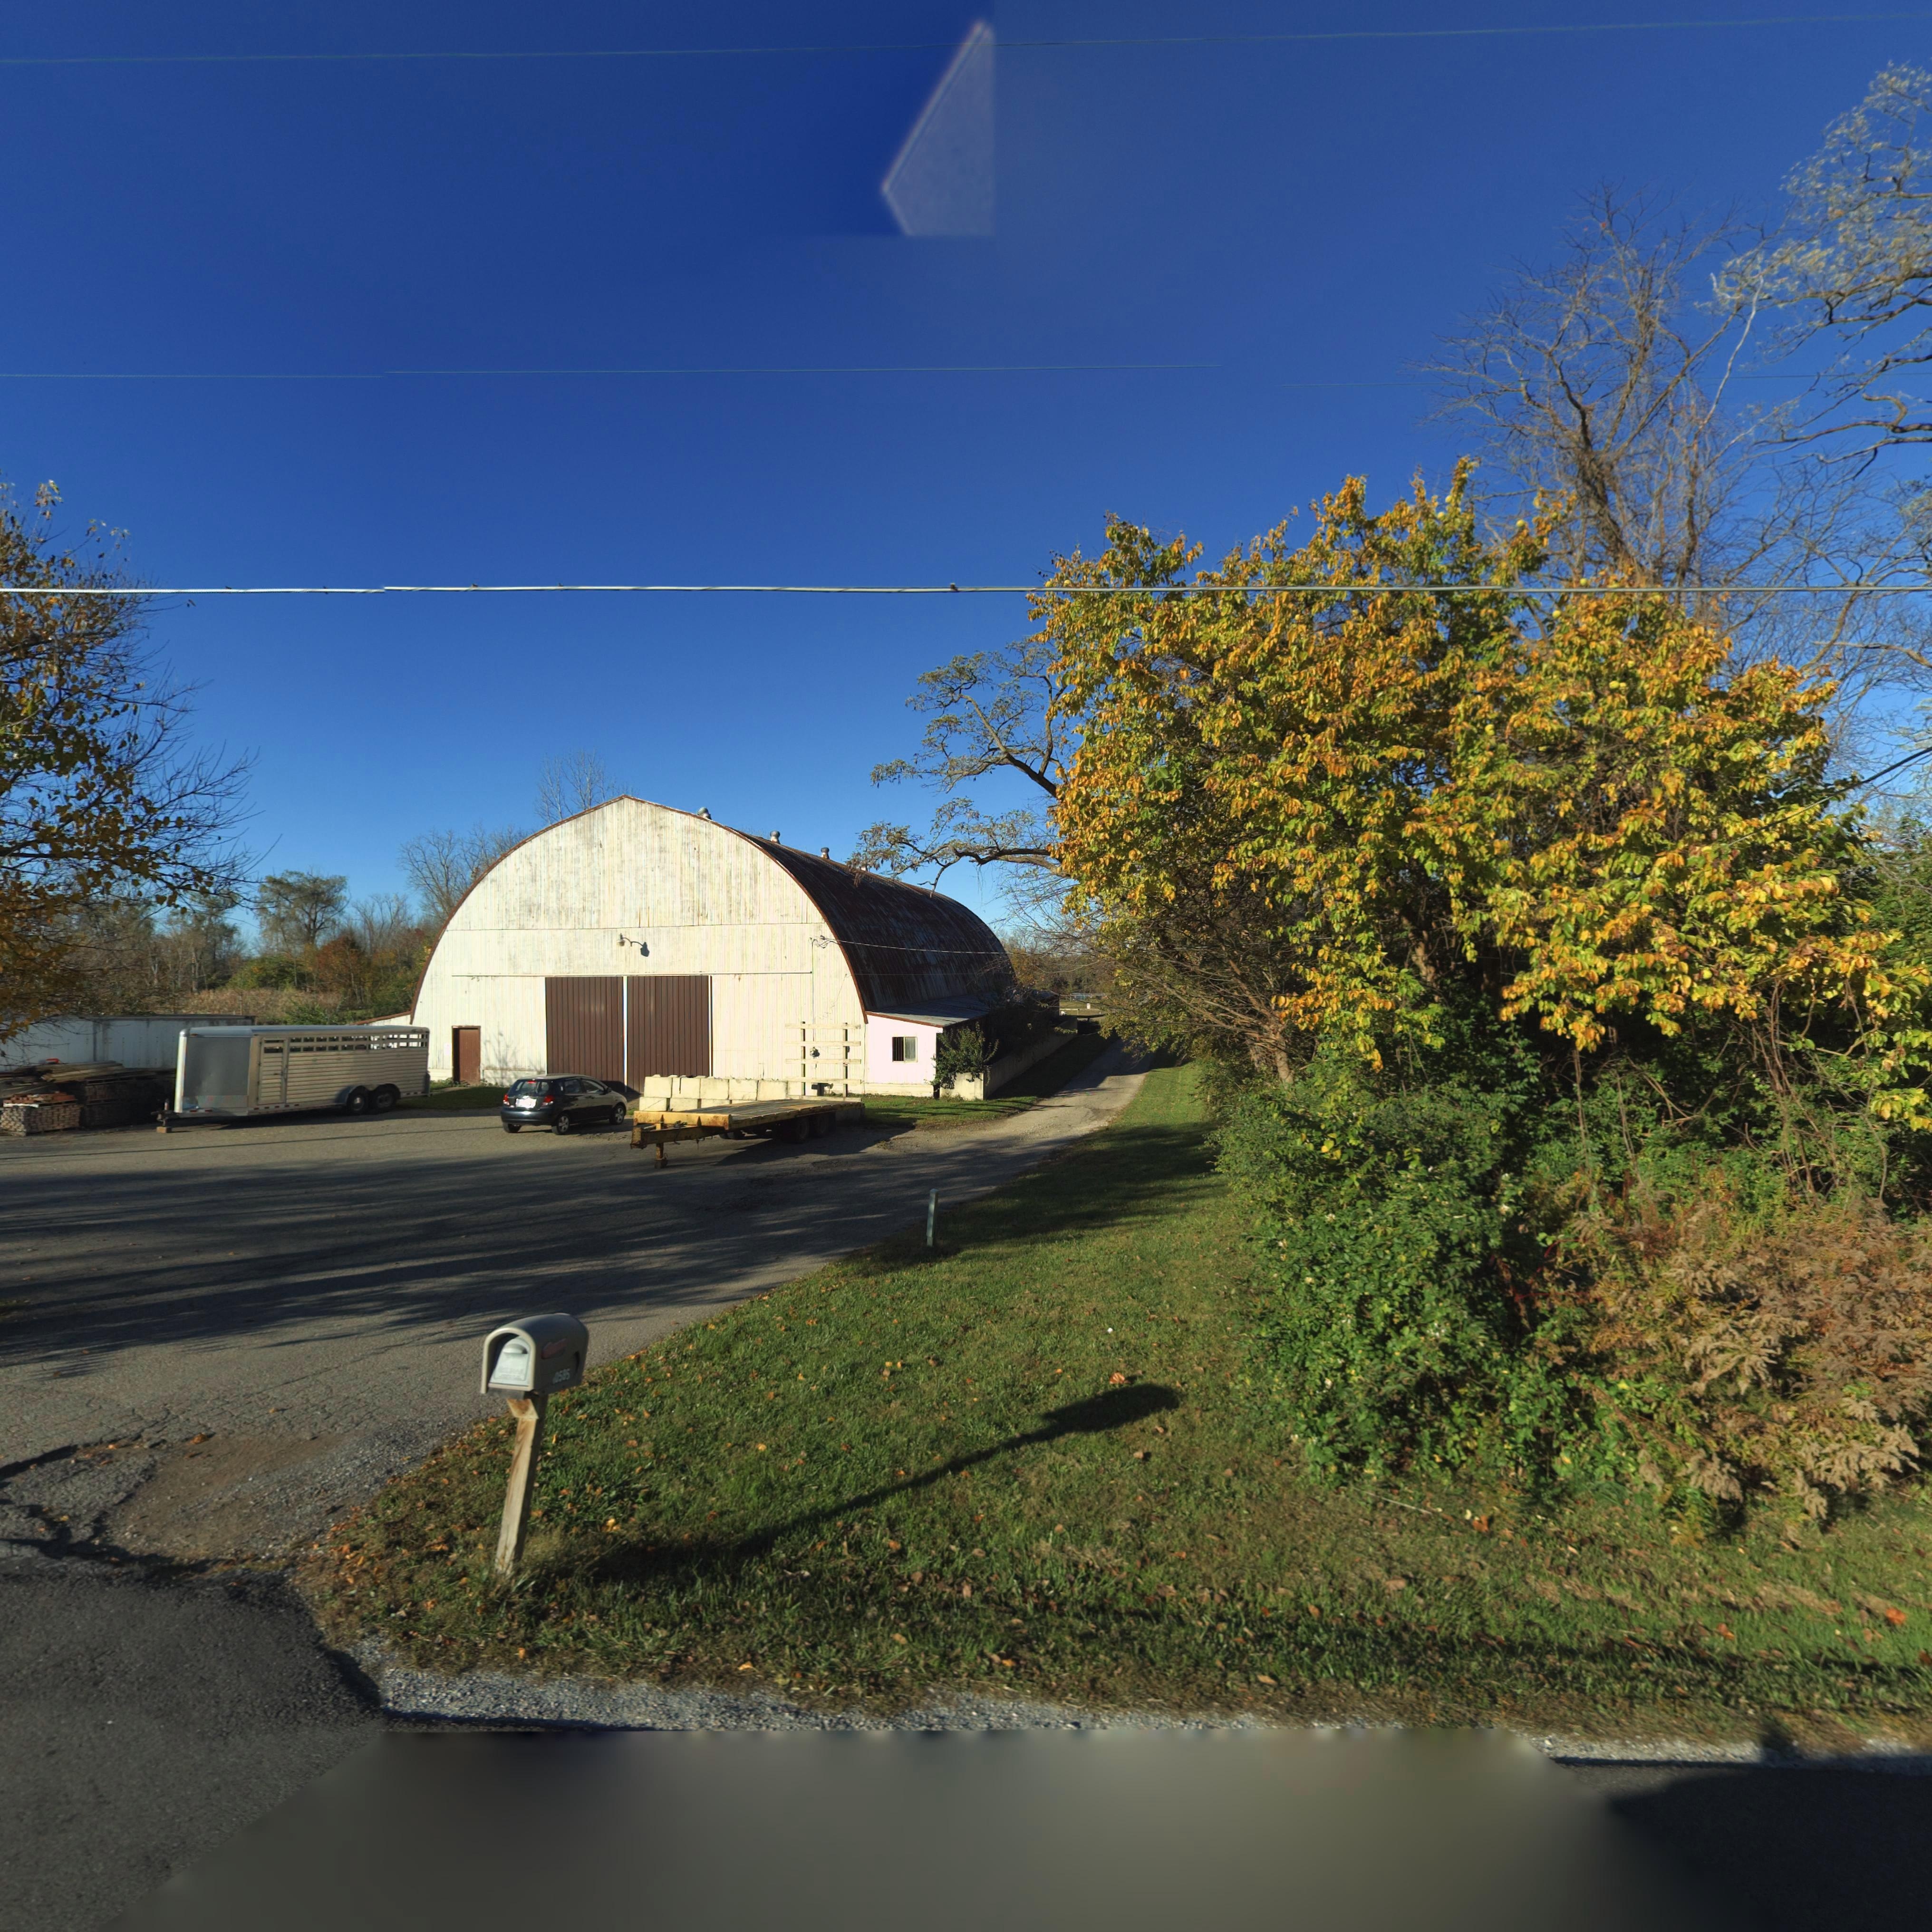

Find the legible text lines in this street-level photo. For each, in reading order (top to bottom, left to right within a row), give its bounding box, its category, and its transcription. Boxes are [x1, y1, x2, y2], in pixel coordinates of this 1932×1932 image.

[558, 1366, 571, 1383] StreetNumber: 585